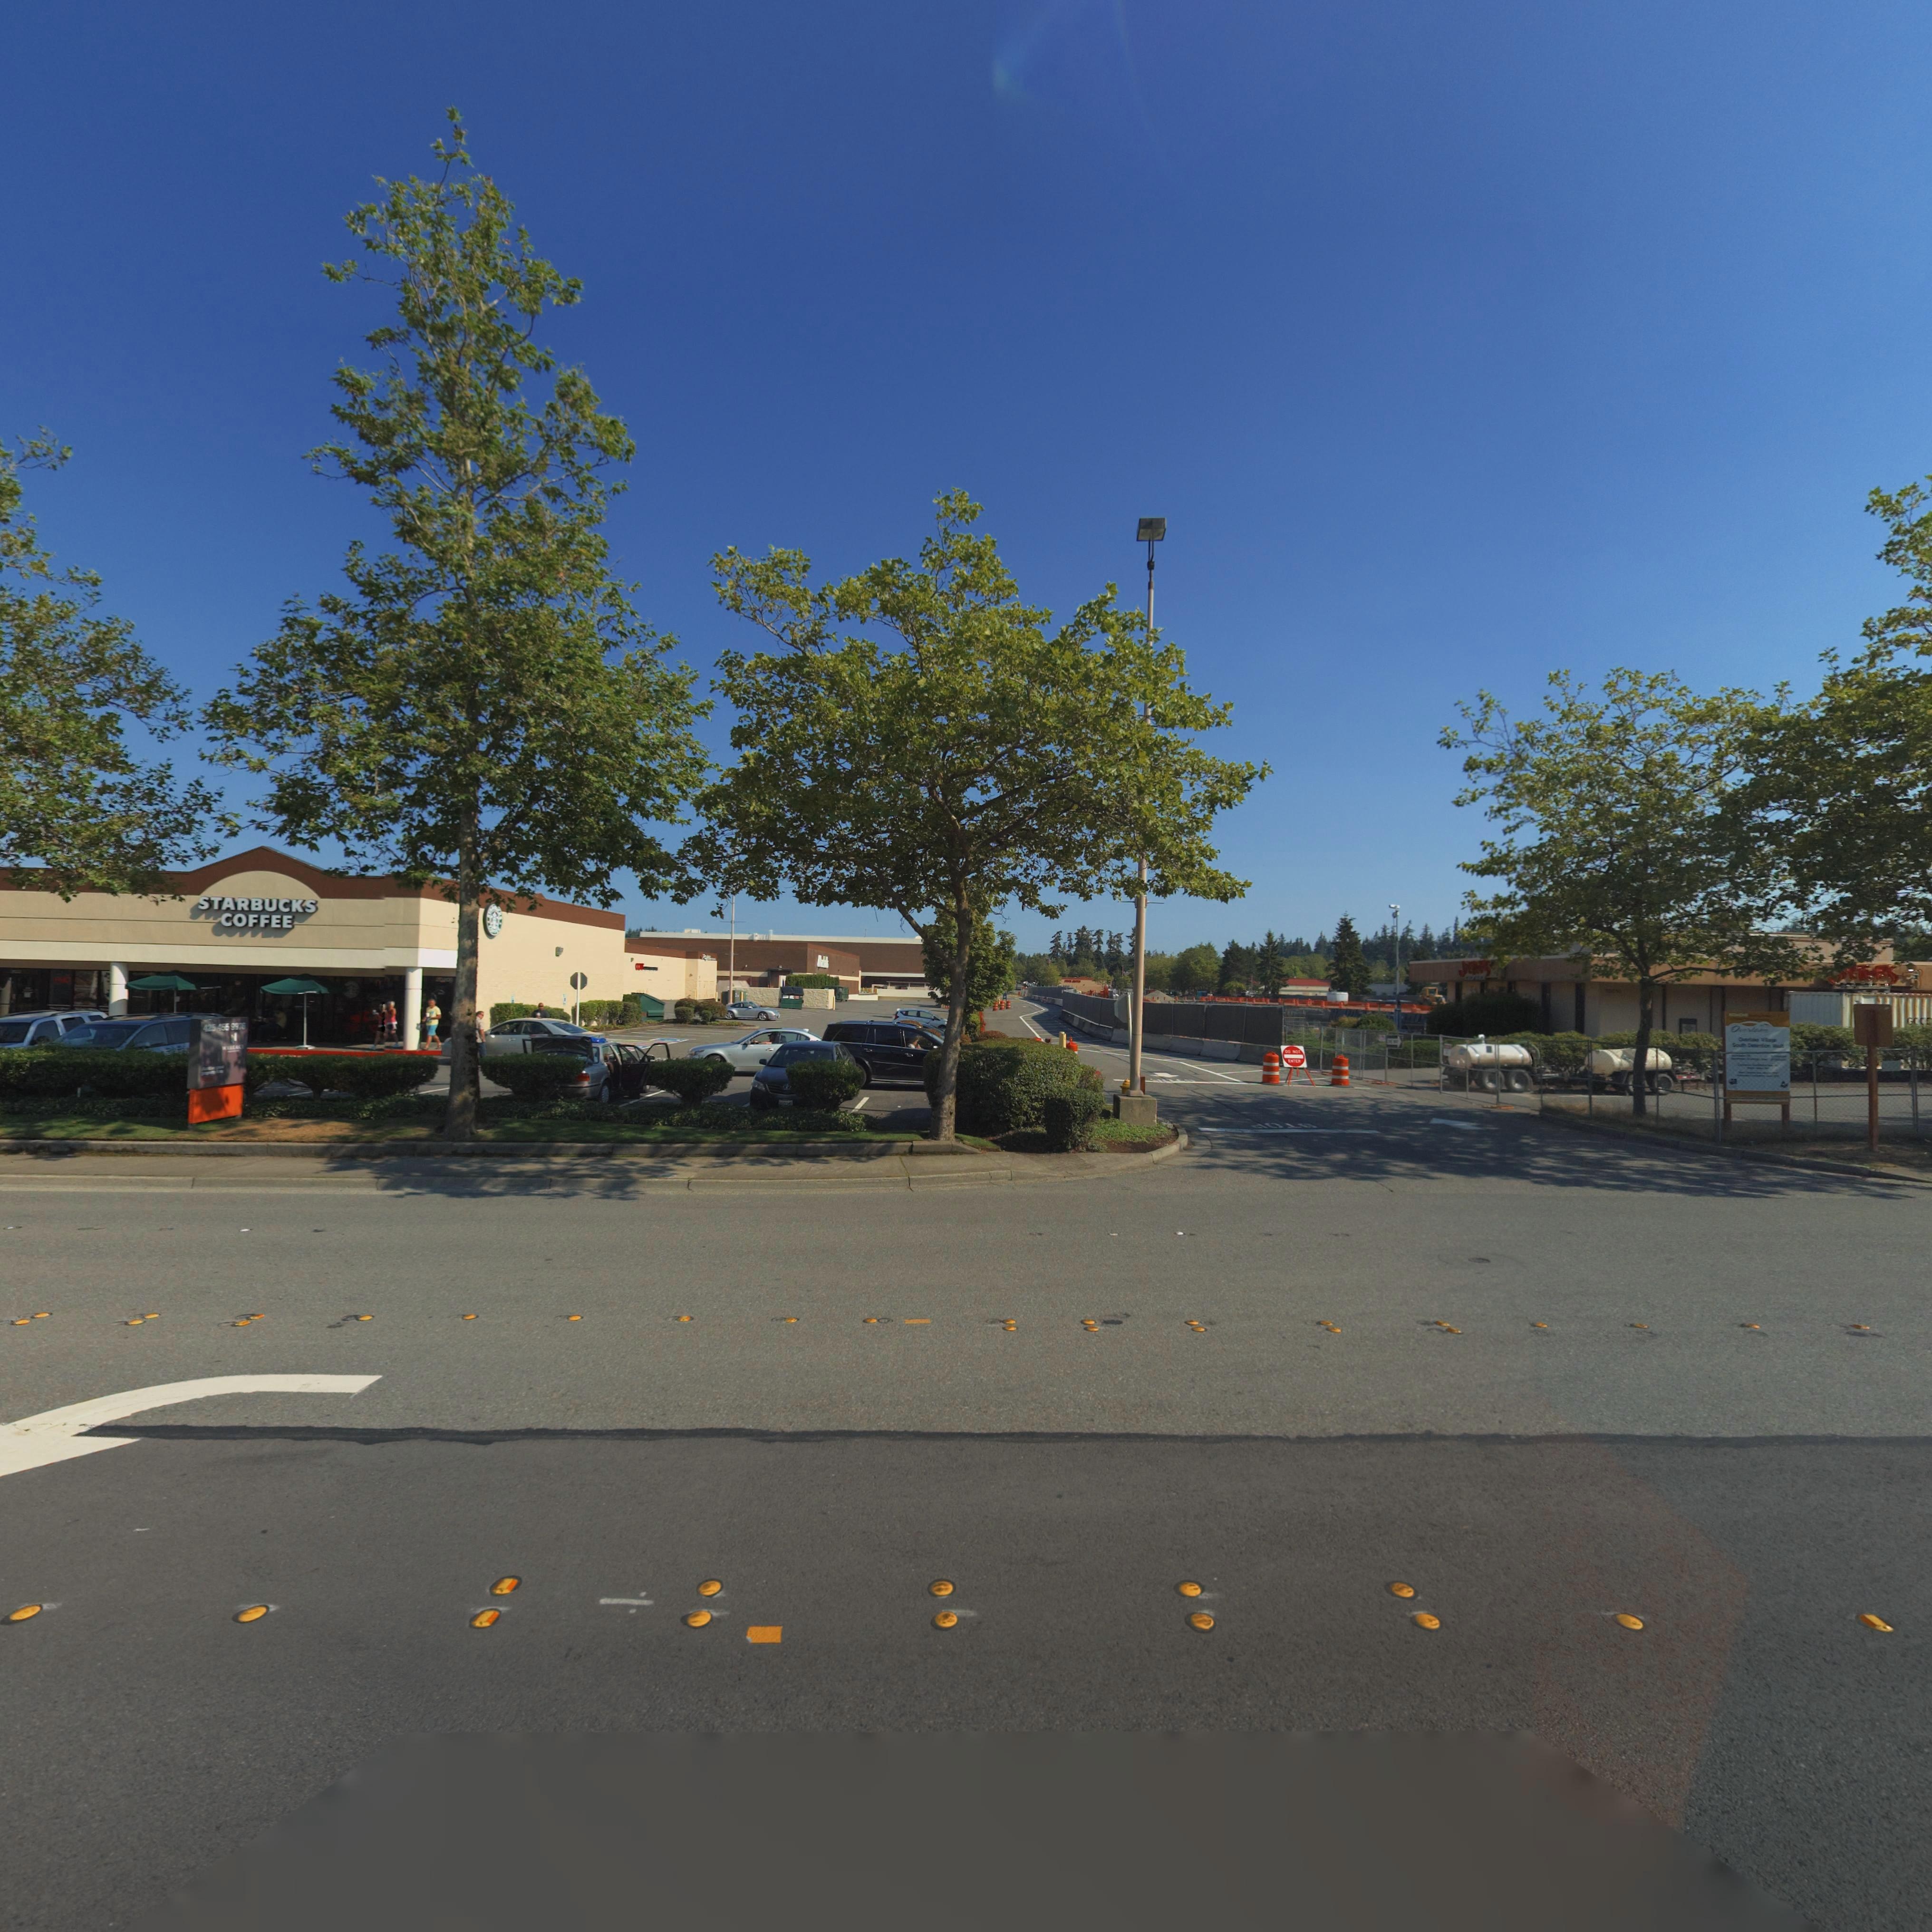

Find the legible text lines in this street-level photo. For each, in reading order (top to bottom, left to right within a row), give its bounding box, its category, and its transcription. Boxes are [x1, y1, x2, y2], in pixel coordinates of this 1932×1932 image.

[199, 897, 315, 911] BusinessName: STARBUCKS
[222, 913, 291, 927] BusinessName: COFFEE